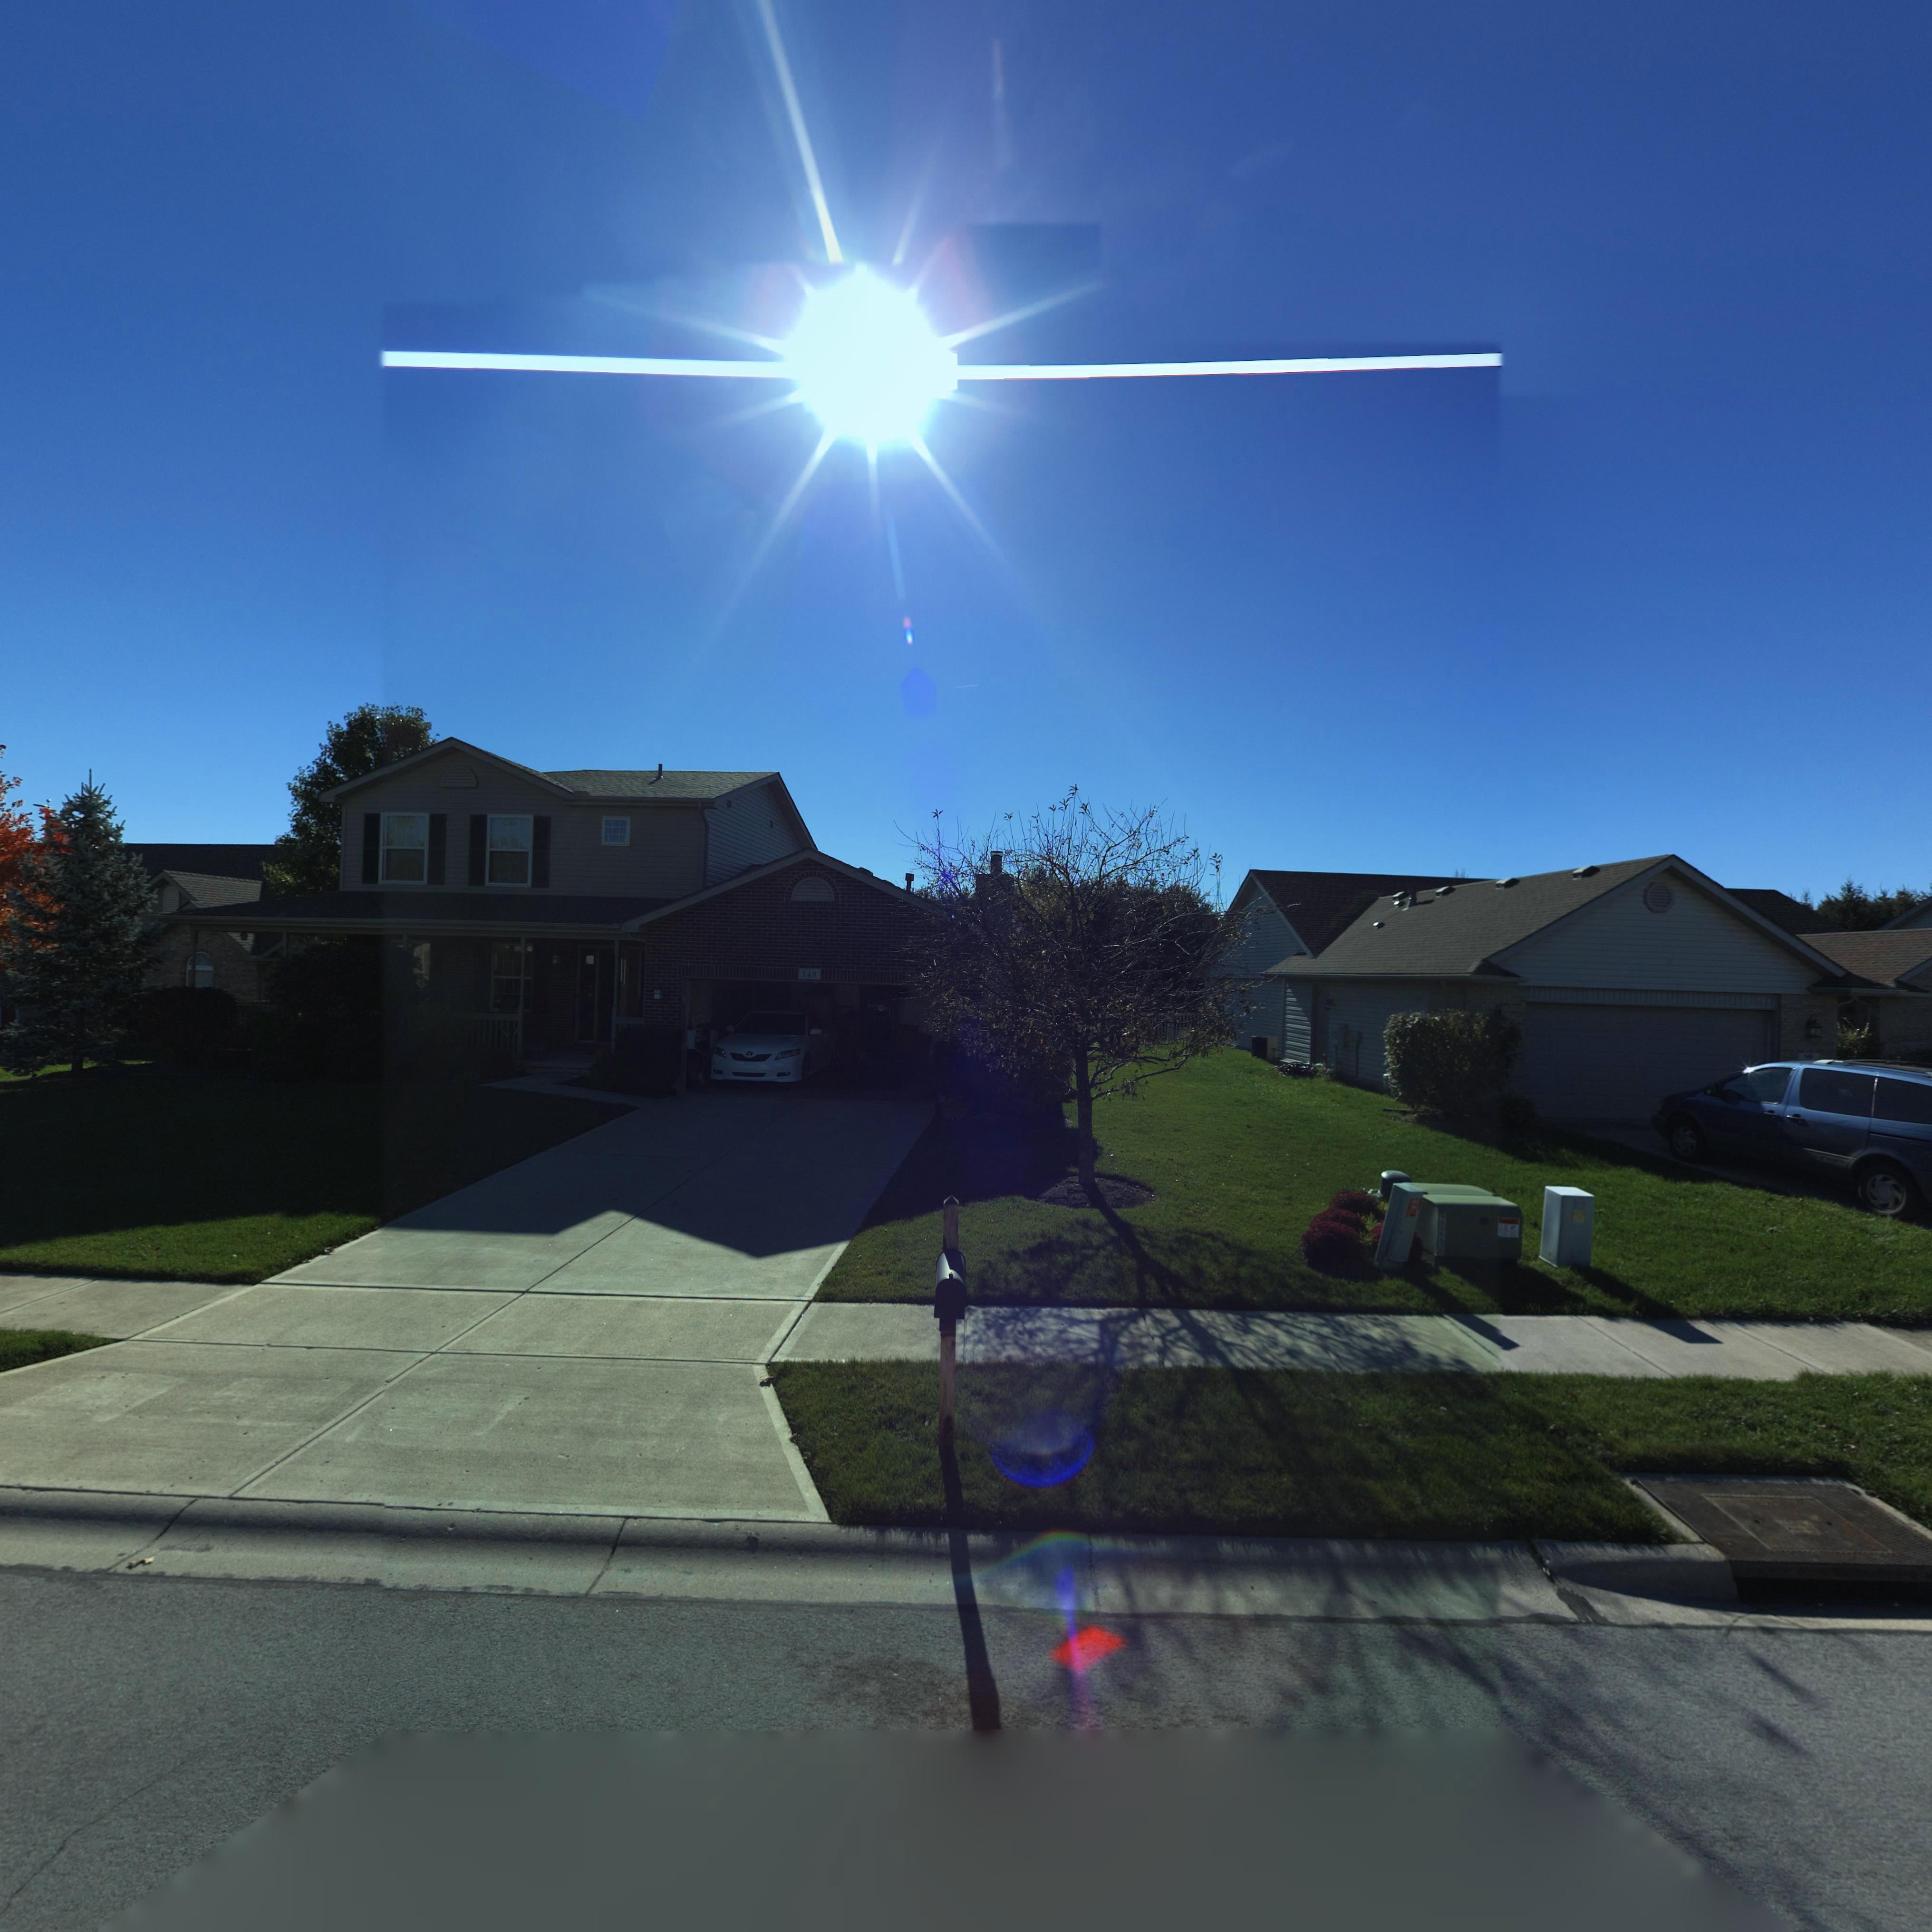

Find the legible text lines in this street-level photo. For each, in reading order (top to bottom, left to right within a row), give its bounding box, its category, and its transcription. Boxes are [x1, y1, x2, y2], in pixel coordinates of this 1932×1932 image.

[803, 971, 816, 977] StreetNumber: 143